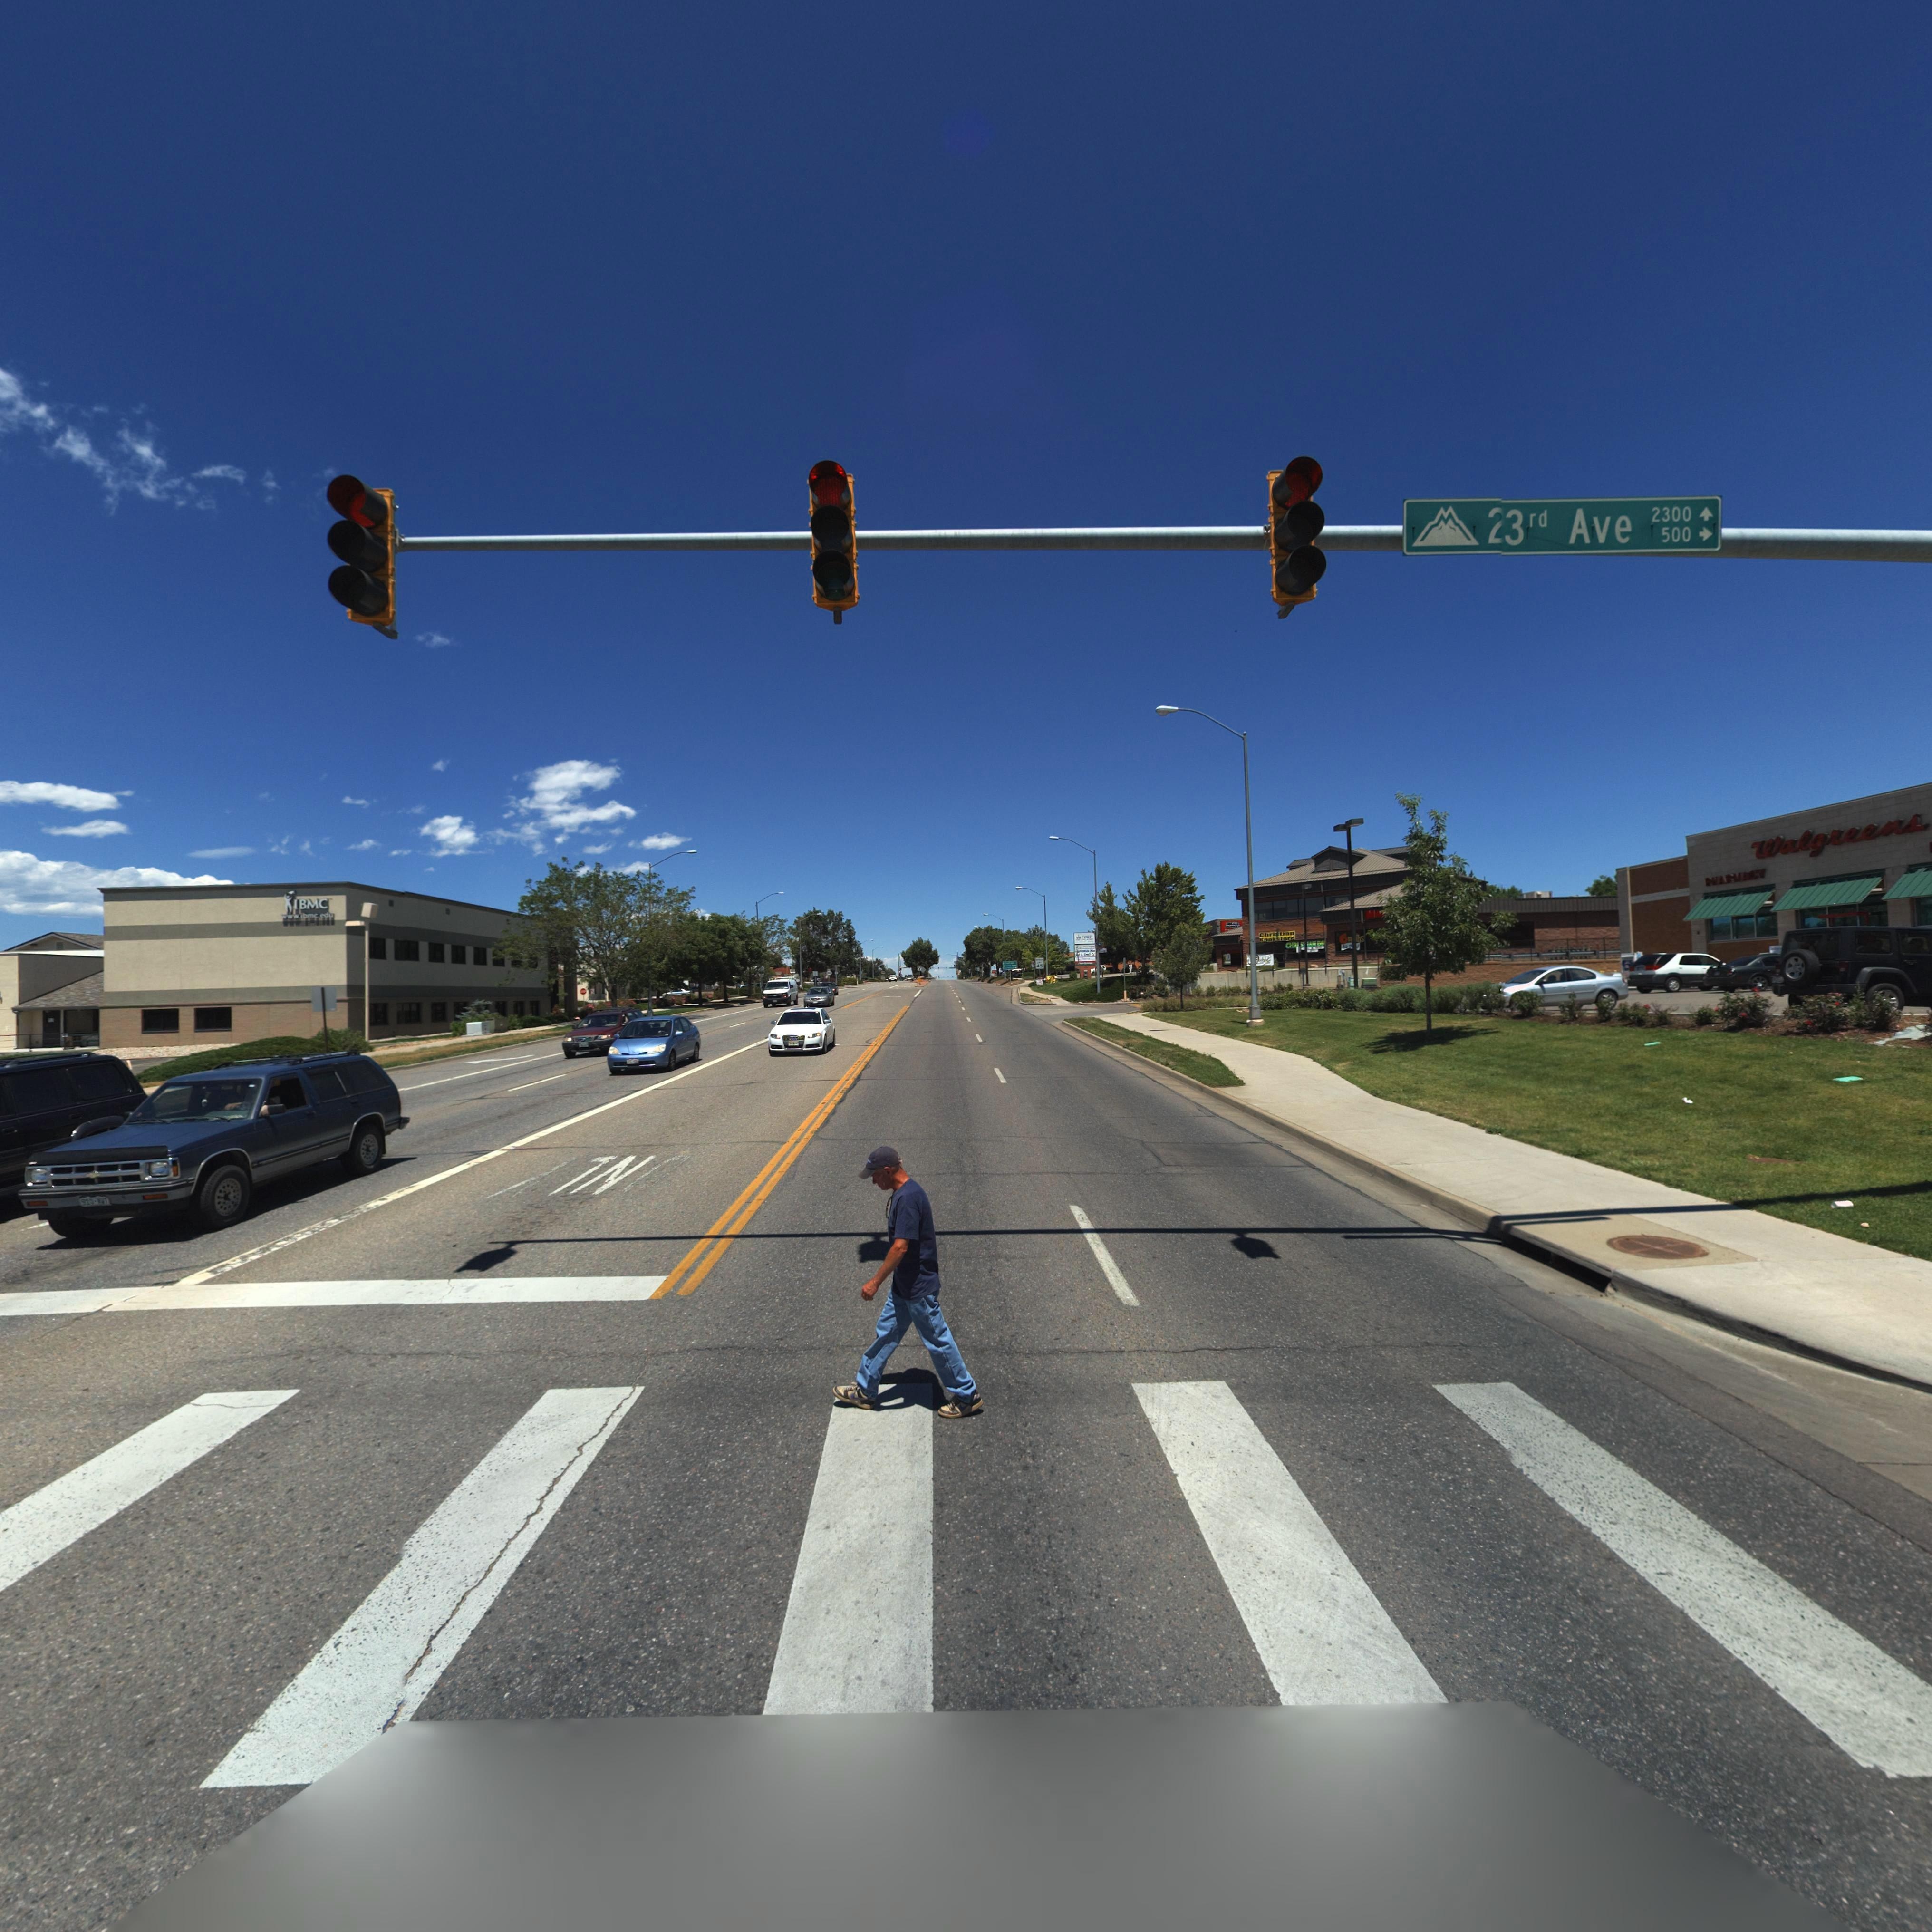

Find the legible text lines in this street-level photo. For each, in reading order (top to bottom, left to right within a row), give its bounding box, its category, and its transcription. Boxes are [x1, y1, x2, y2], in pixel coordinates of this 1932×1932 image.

[1651, 505, 1691, 522] StreetNumberRange: 2300
[1486, 504, 1634, 547] StreetName: *3rd Ave
[1661, 525, 1713, 543] StreetNumberRange: 500->
[1749, 812, 1924, 860] BusinessName: Walgreens
[294, 898, 328, 909] BusinessName: IBMC